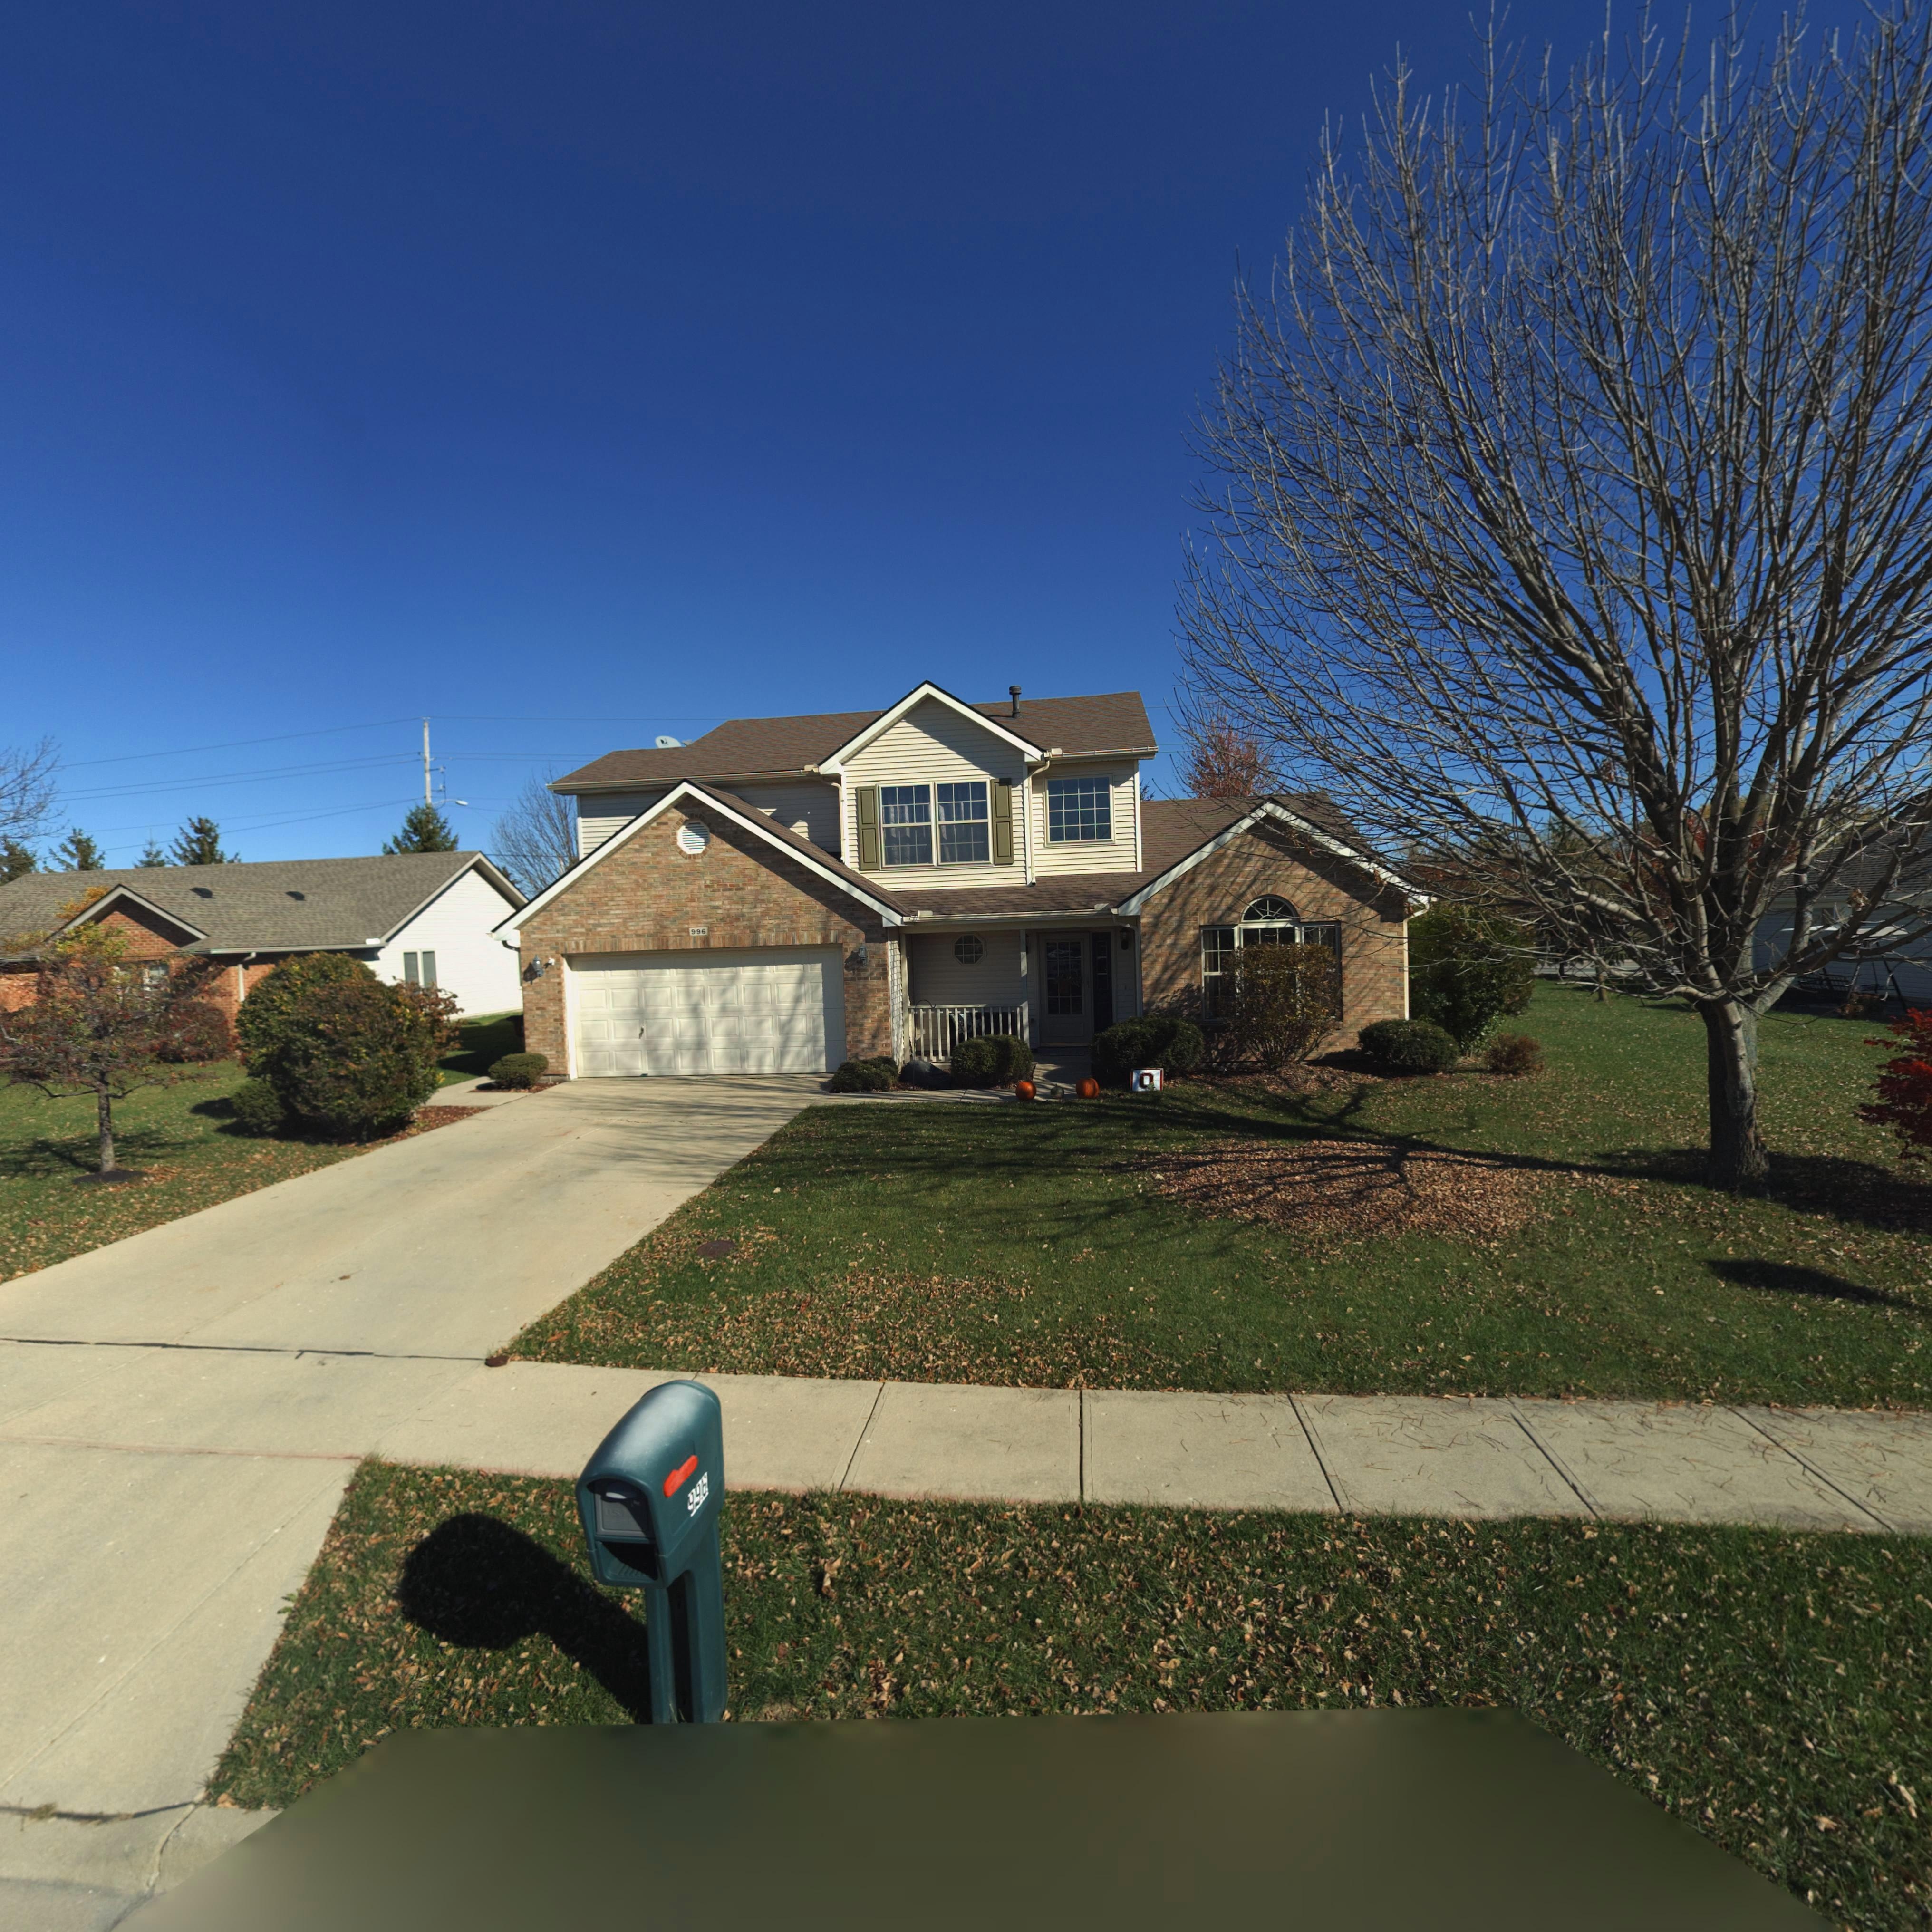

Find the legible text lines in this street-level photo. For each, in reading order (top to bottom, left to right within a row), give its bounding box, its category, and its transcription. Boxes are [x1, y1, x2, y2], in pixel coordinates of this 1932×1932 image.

[690, 927, 706, 936] StreetNumber: 996
[686, 1473, 708, 1517] StreetNumber: 996